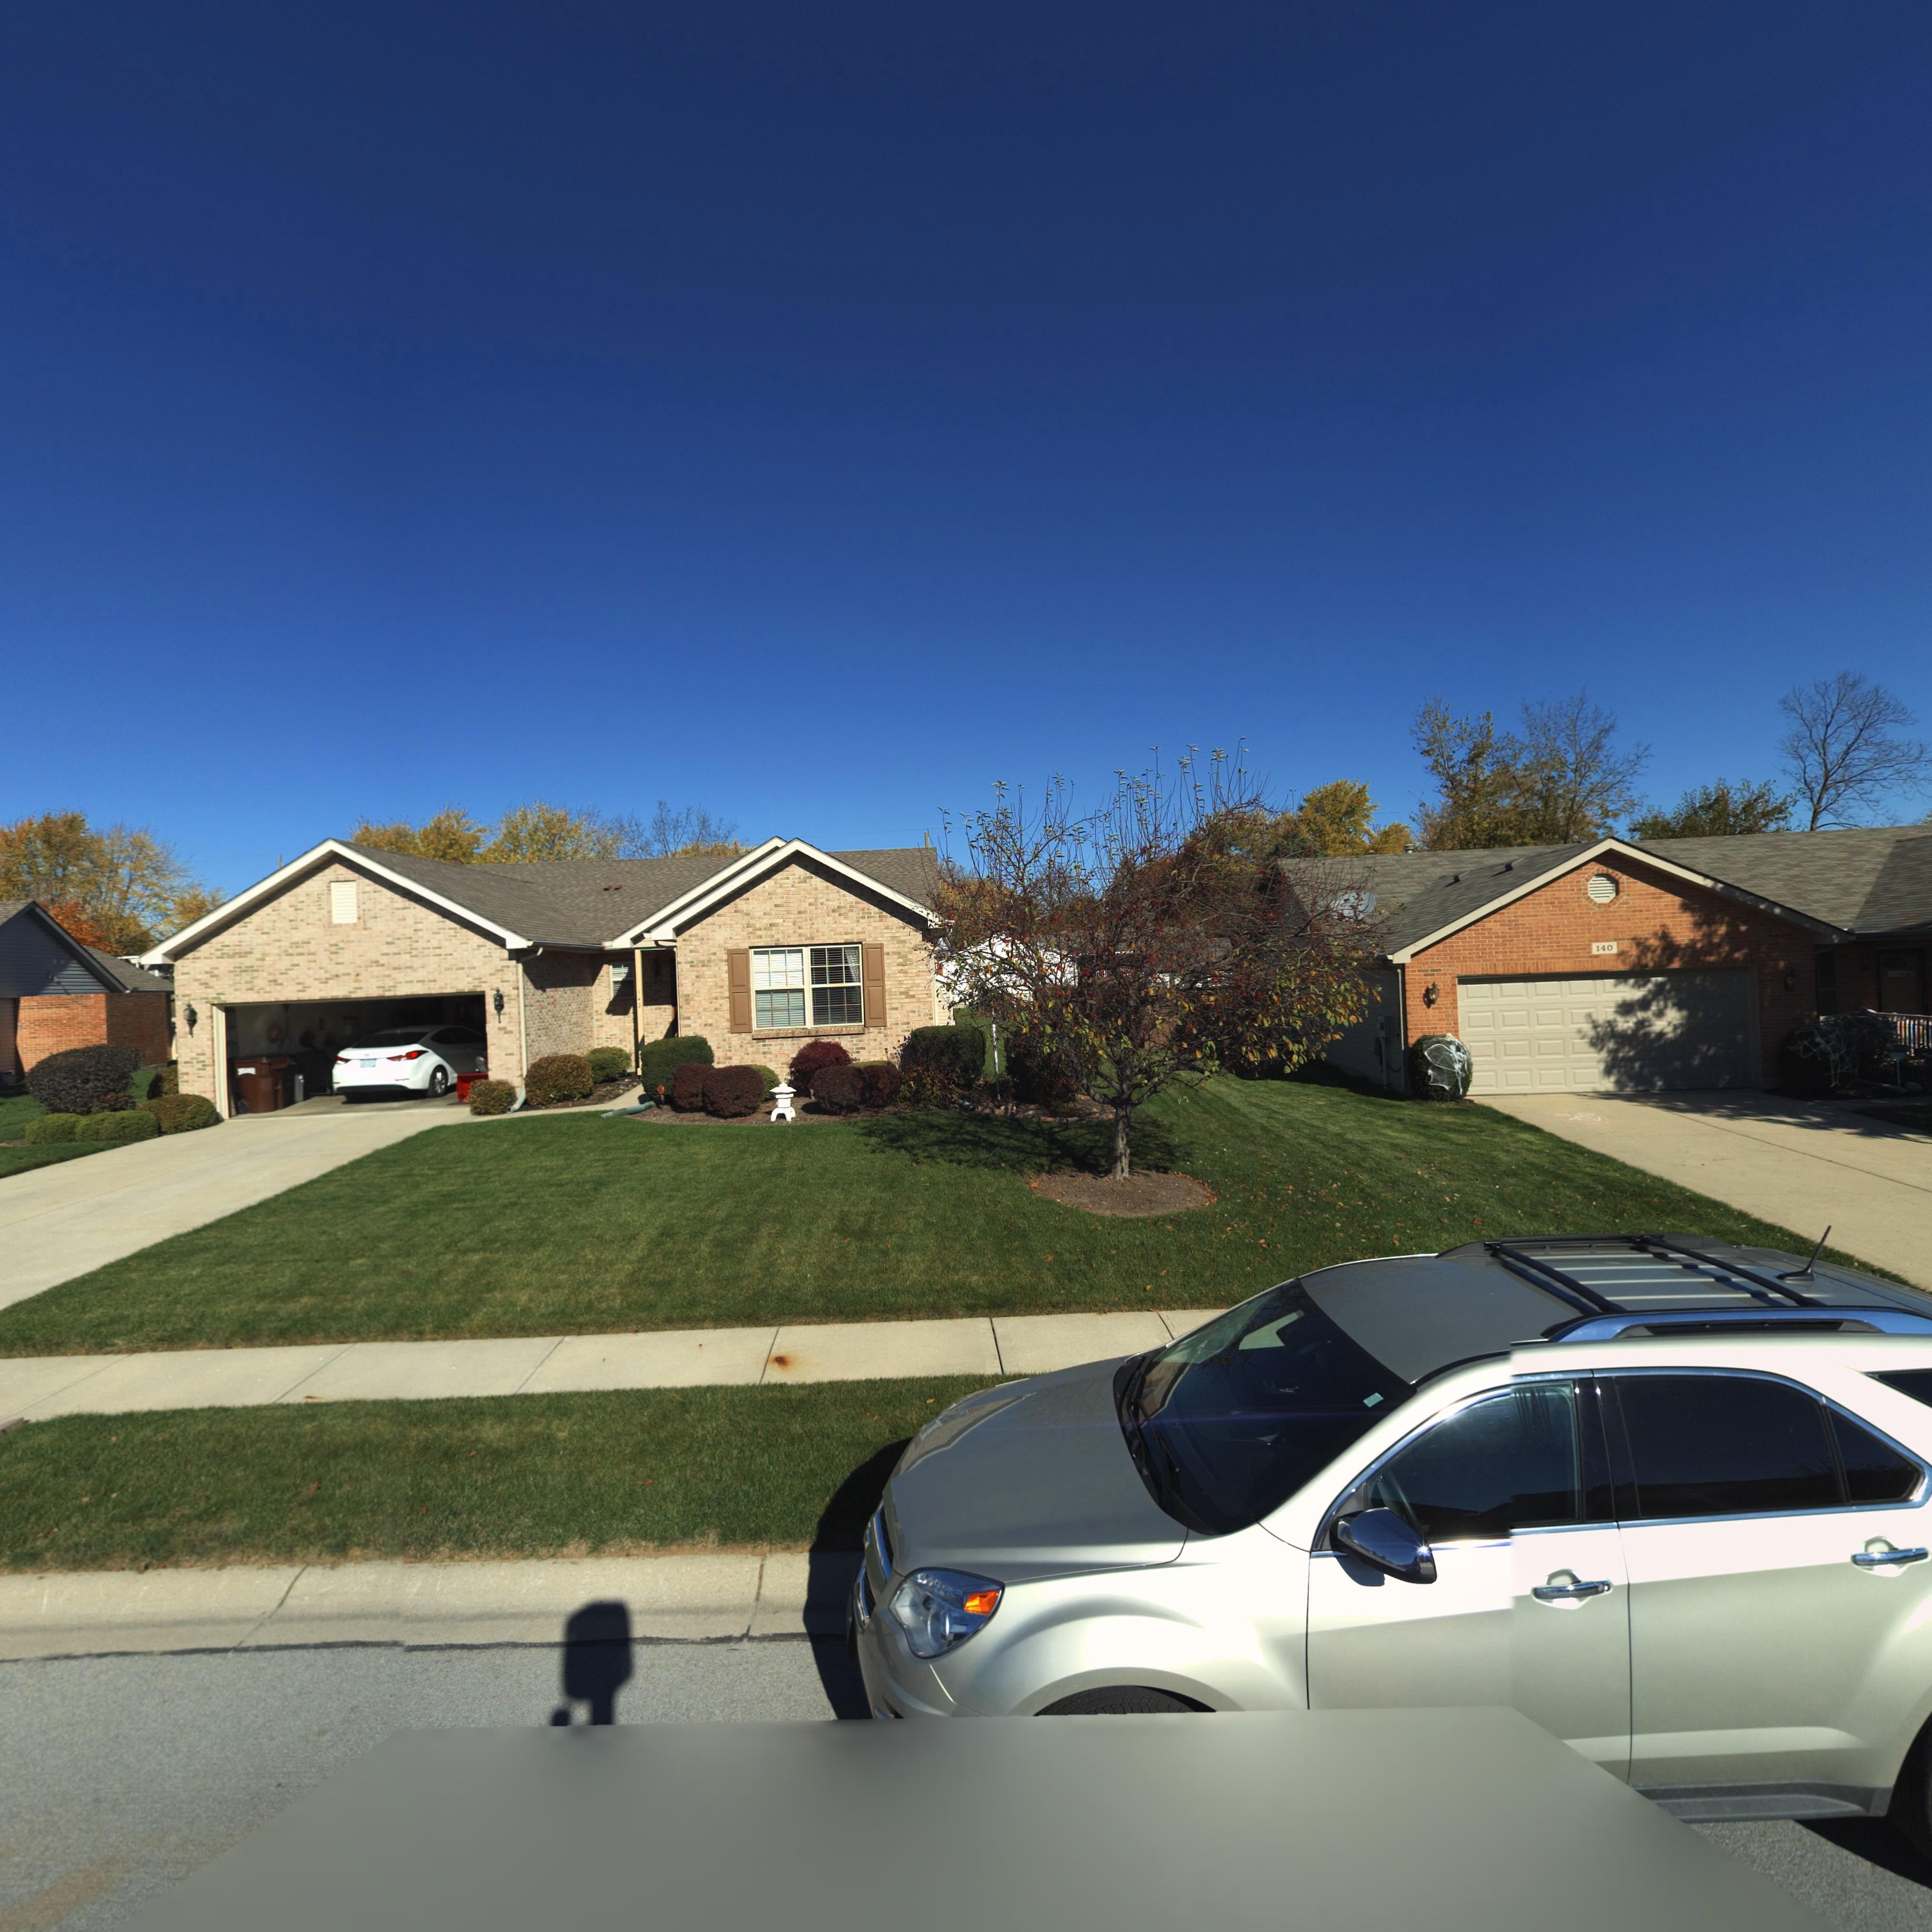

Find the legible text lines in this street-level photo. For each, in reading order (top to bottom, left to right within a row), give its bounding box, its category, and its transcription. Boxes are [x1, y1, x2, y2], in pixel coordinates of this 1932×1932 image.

[1595, 944, 1613, 952] StreetNumber: 140